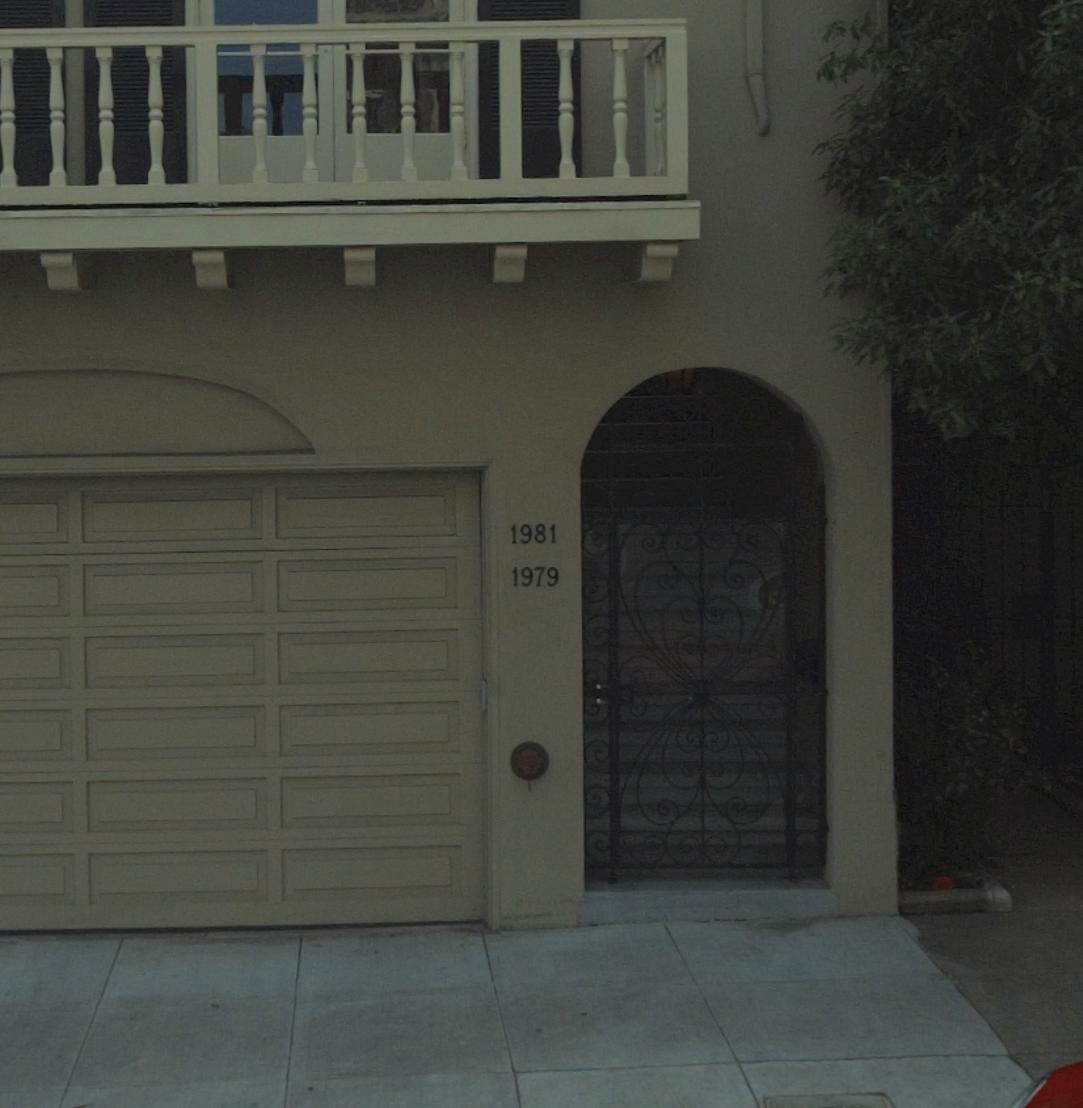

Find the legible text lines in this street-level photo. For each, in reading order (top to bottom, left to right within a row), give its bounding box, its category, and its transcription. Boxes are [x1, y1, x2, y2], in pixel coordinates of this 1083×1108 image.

[508, 521, 558, 547] StreetNumber: 1981
[510, 563, 561, 589] StreetNumber: 1979